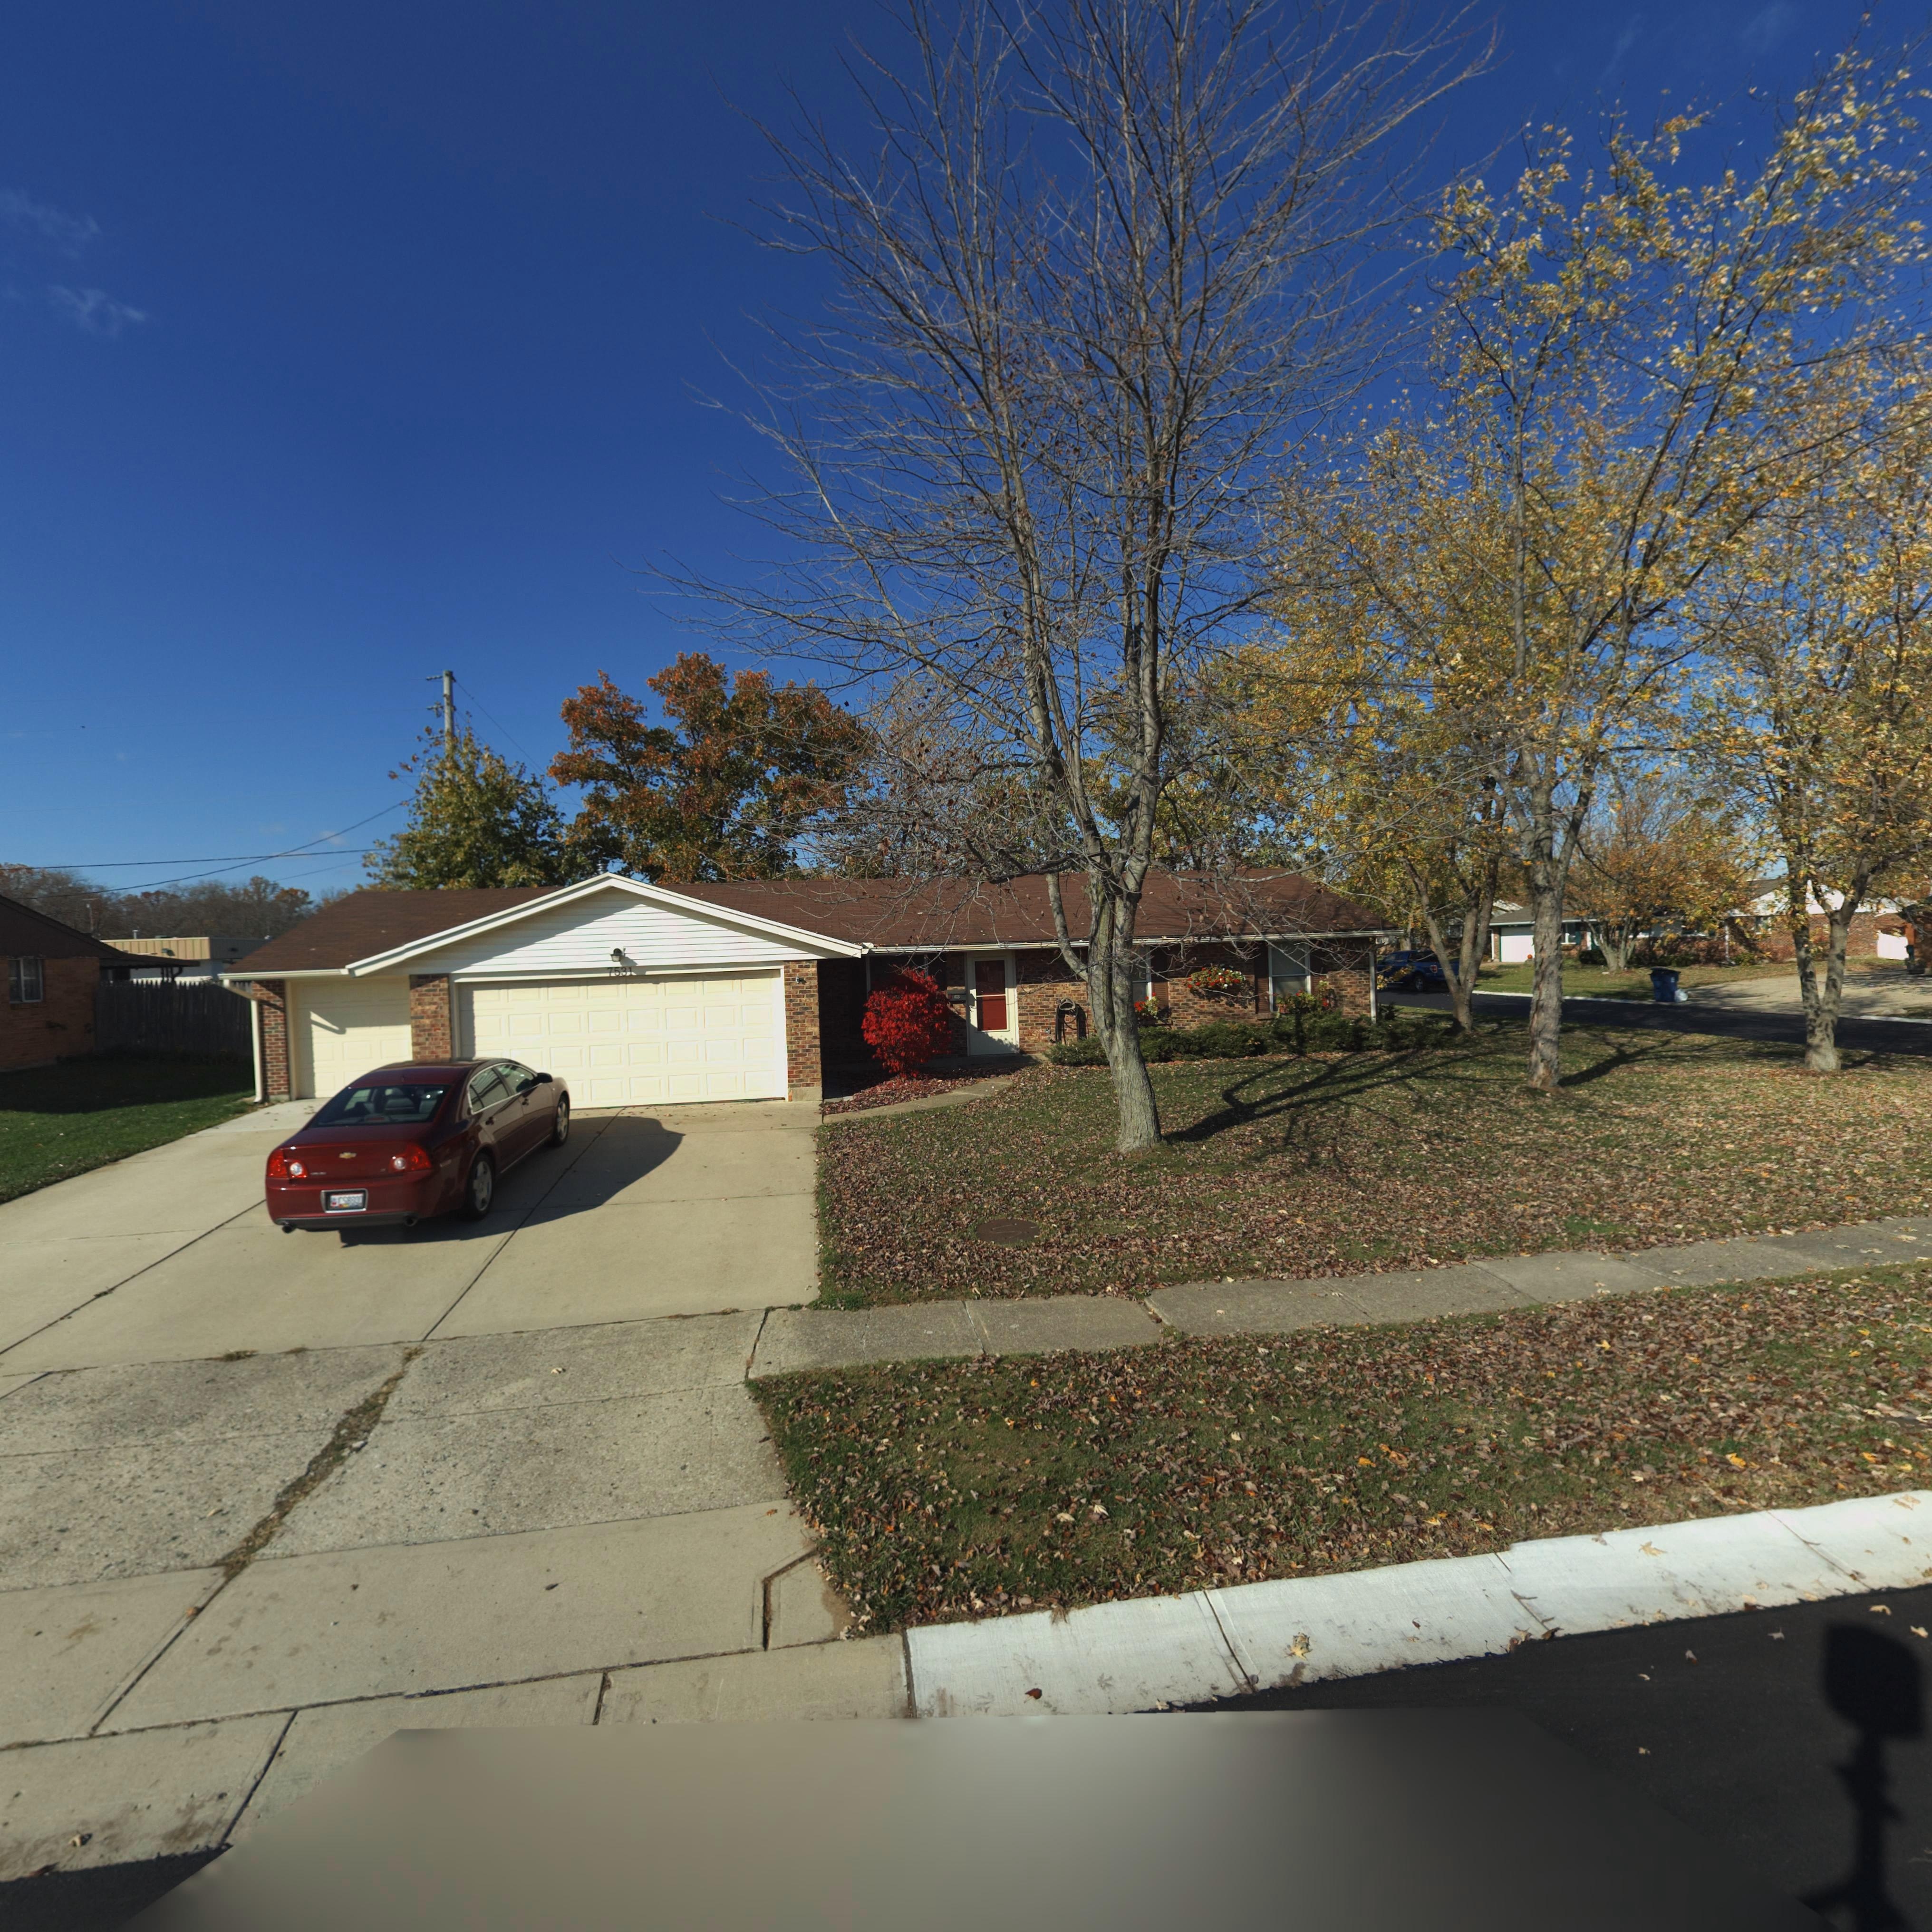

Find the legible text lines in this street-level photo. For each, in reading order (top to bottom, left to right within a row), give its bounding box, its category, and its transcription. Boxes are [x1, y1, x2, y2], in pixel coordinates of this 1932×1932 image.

[607, 966, 634, 977] StreetNumber: 7531